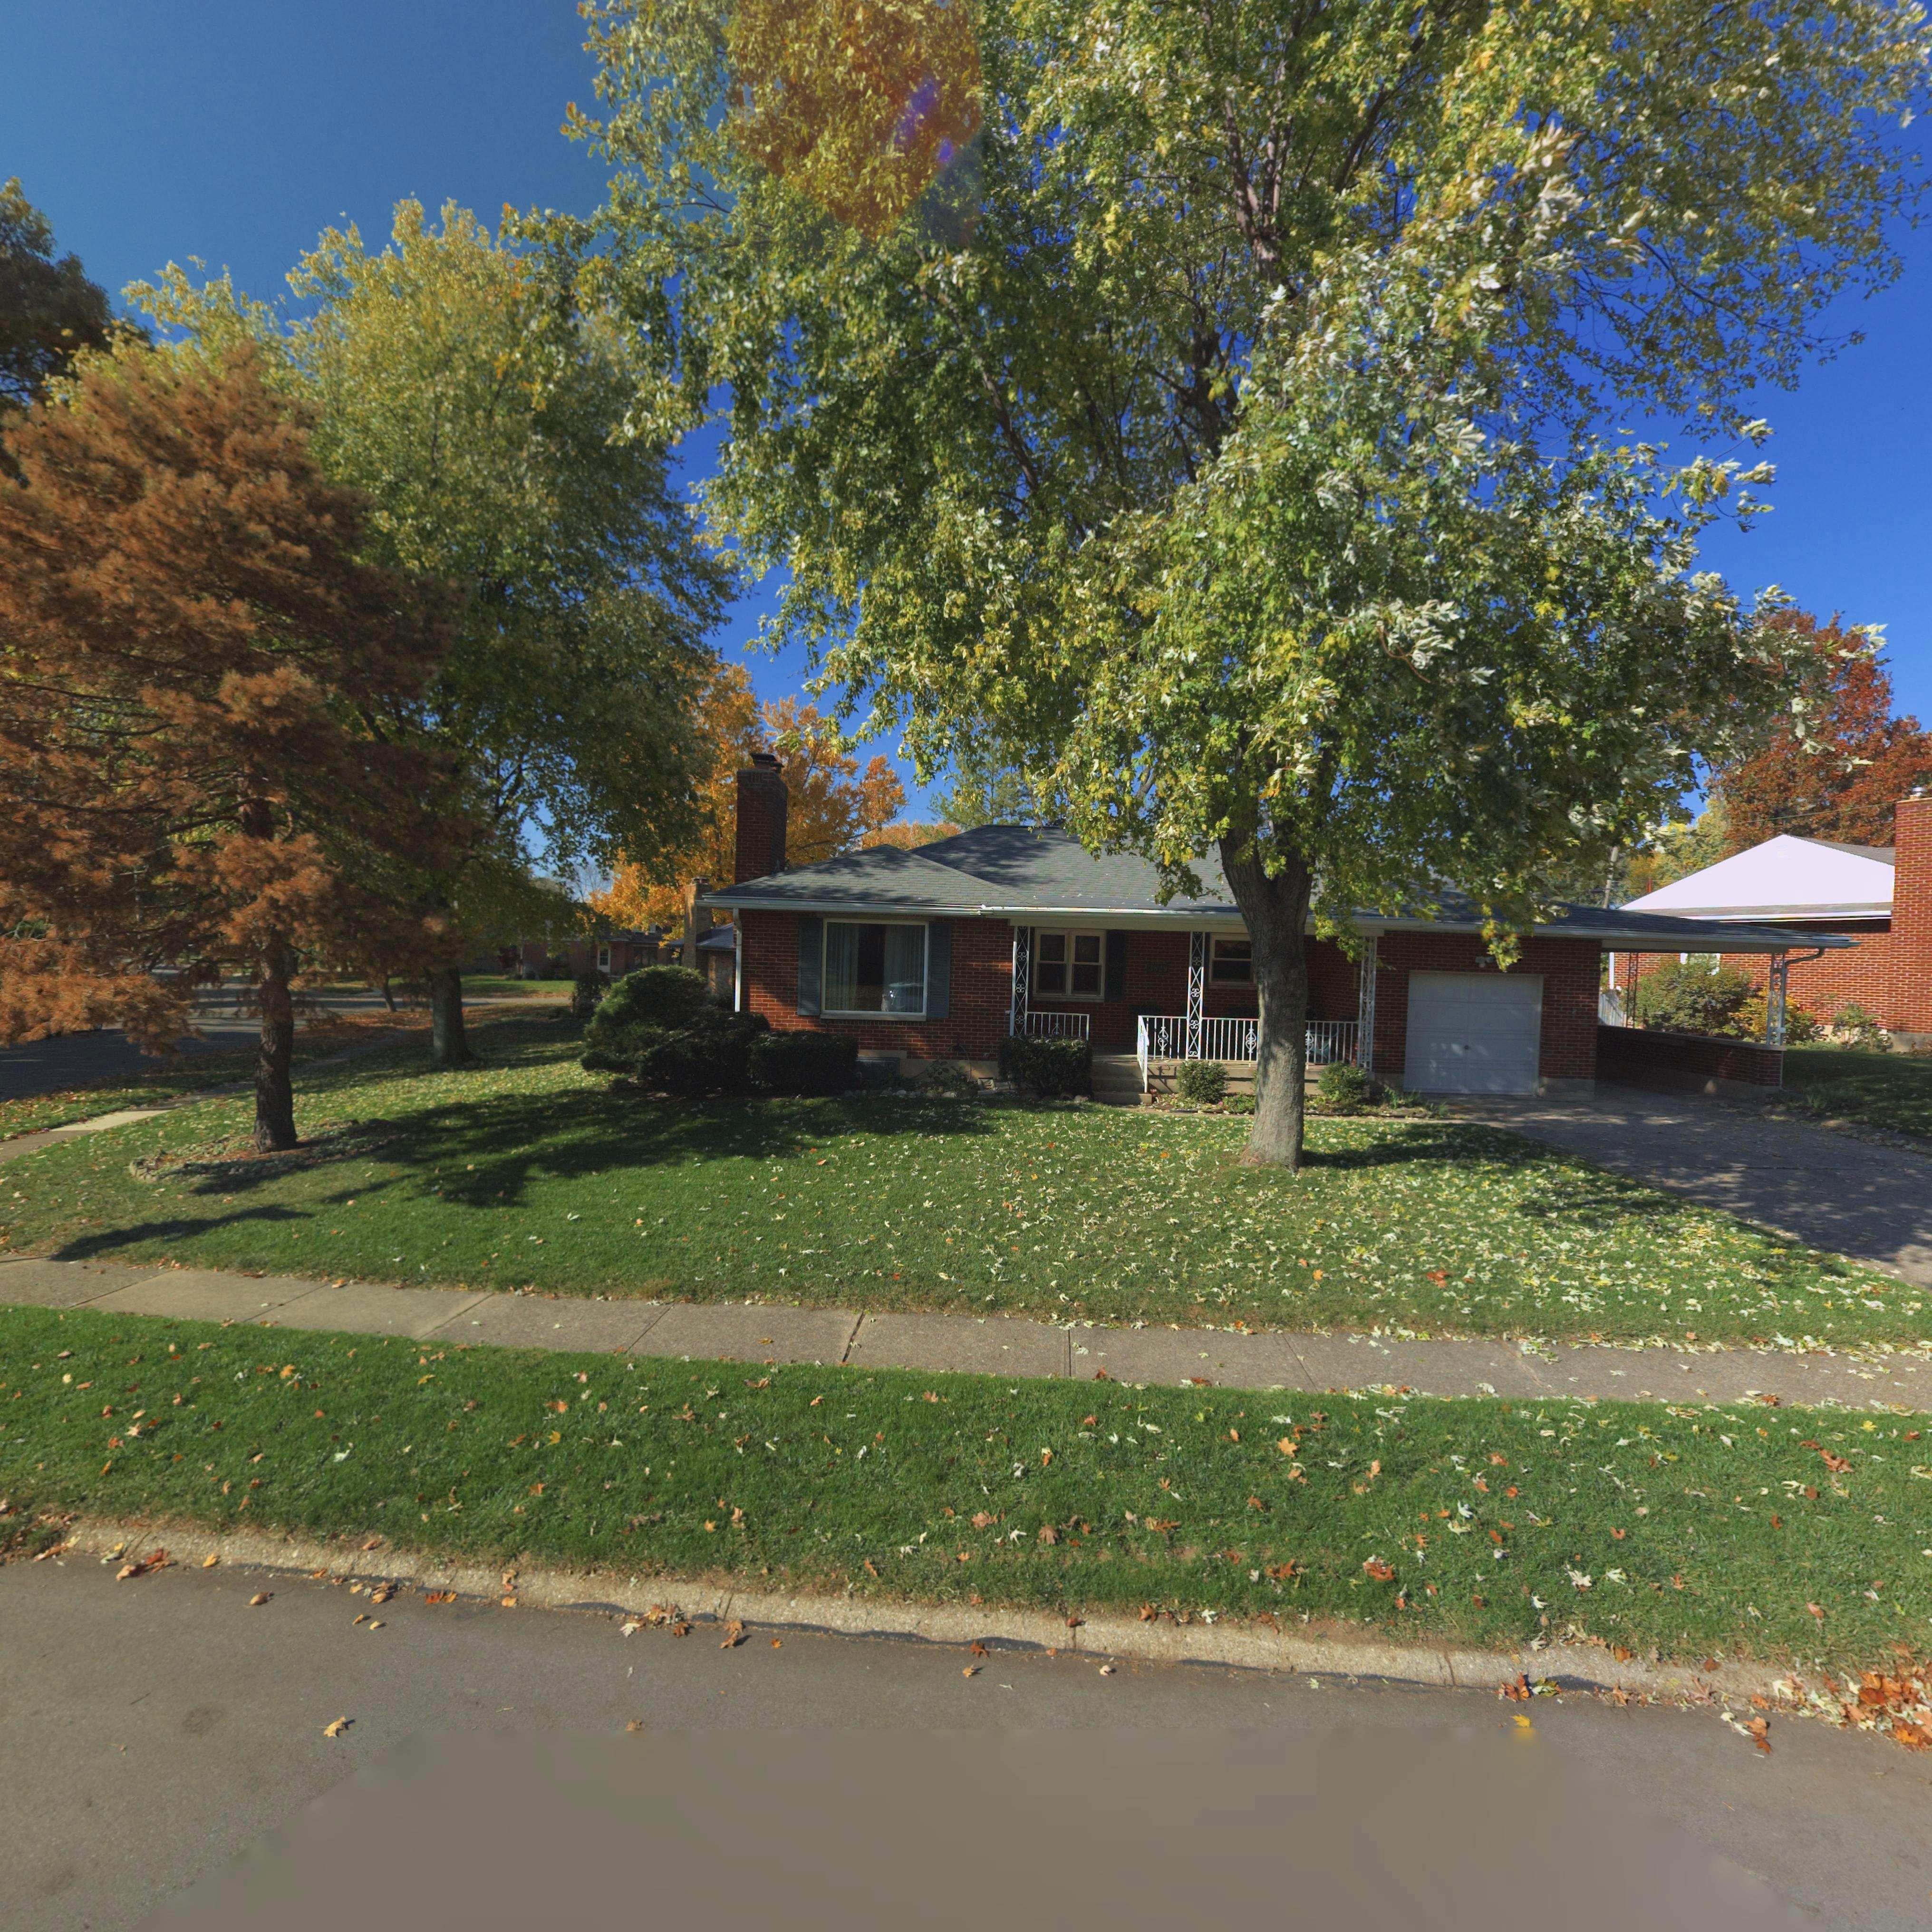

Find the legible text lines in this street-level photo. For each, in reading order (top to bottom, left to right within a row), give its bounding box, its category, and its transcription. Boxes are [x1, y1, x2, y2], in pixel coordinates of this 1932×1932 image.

[1148, 964, 1168, 973] StreetNumber: 3*29